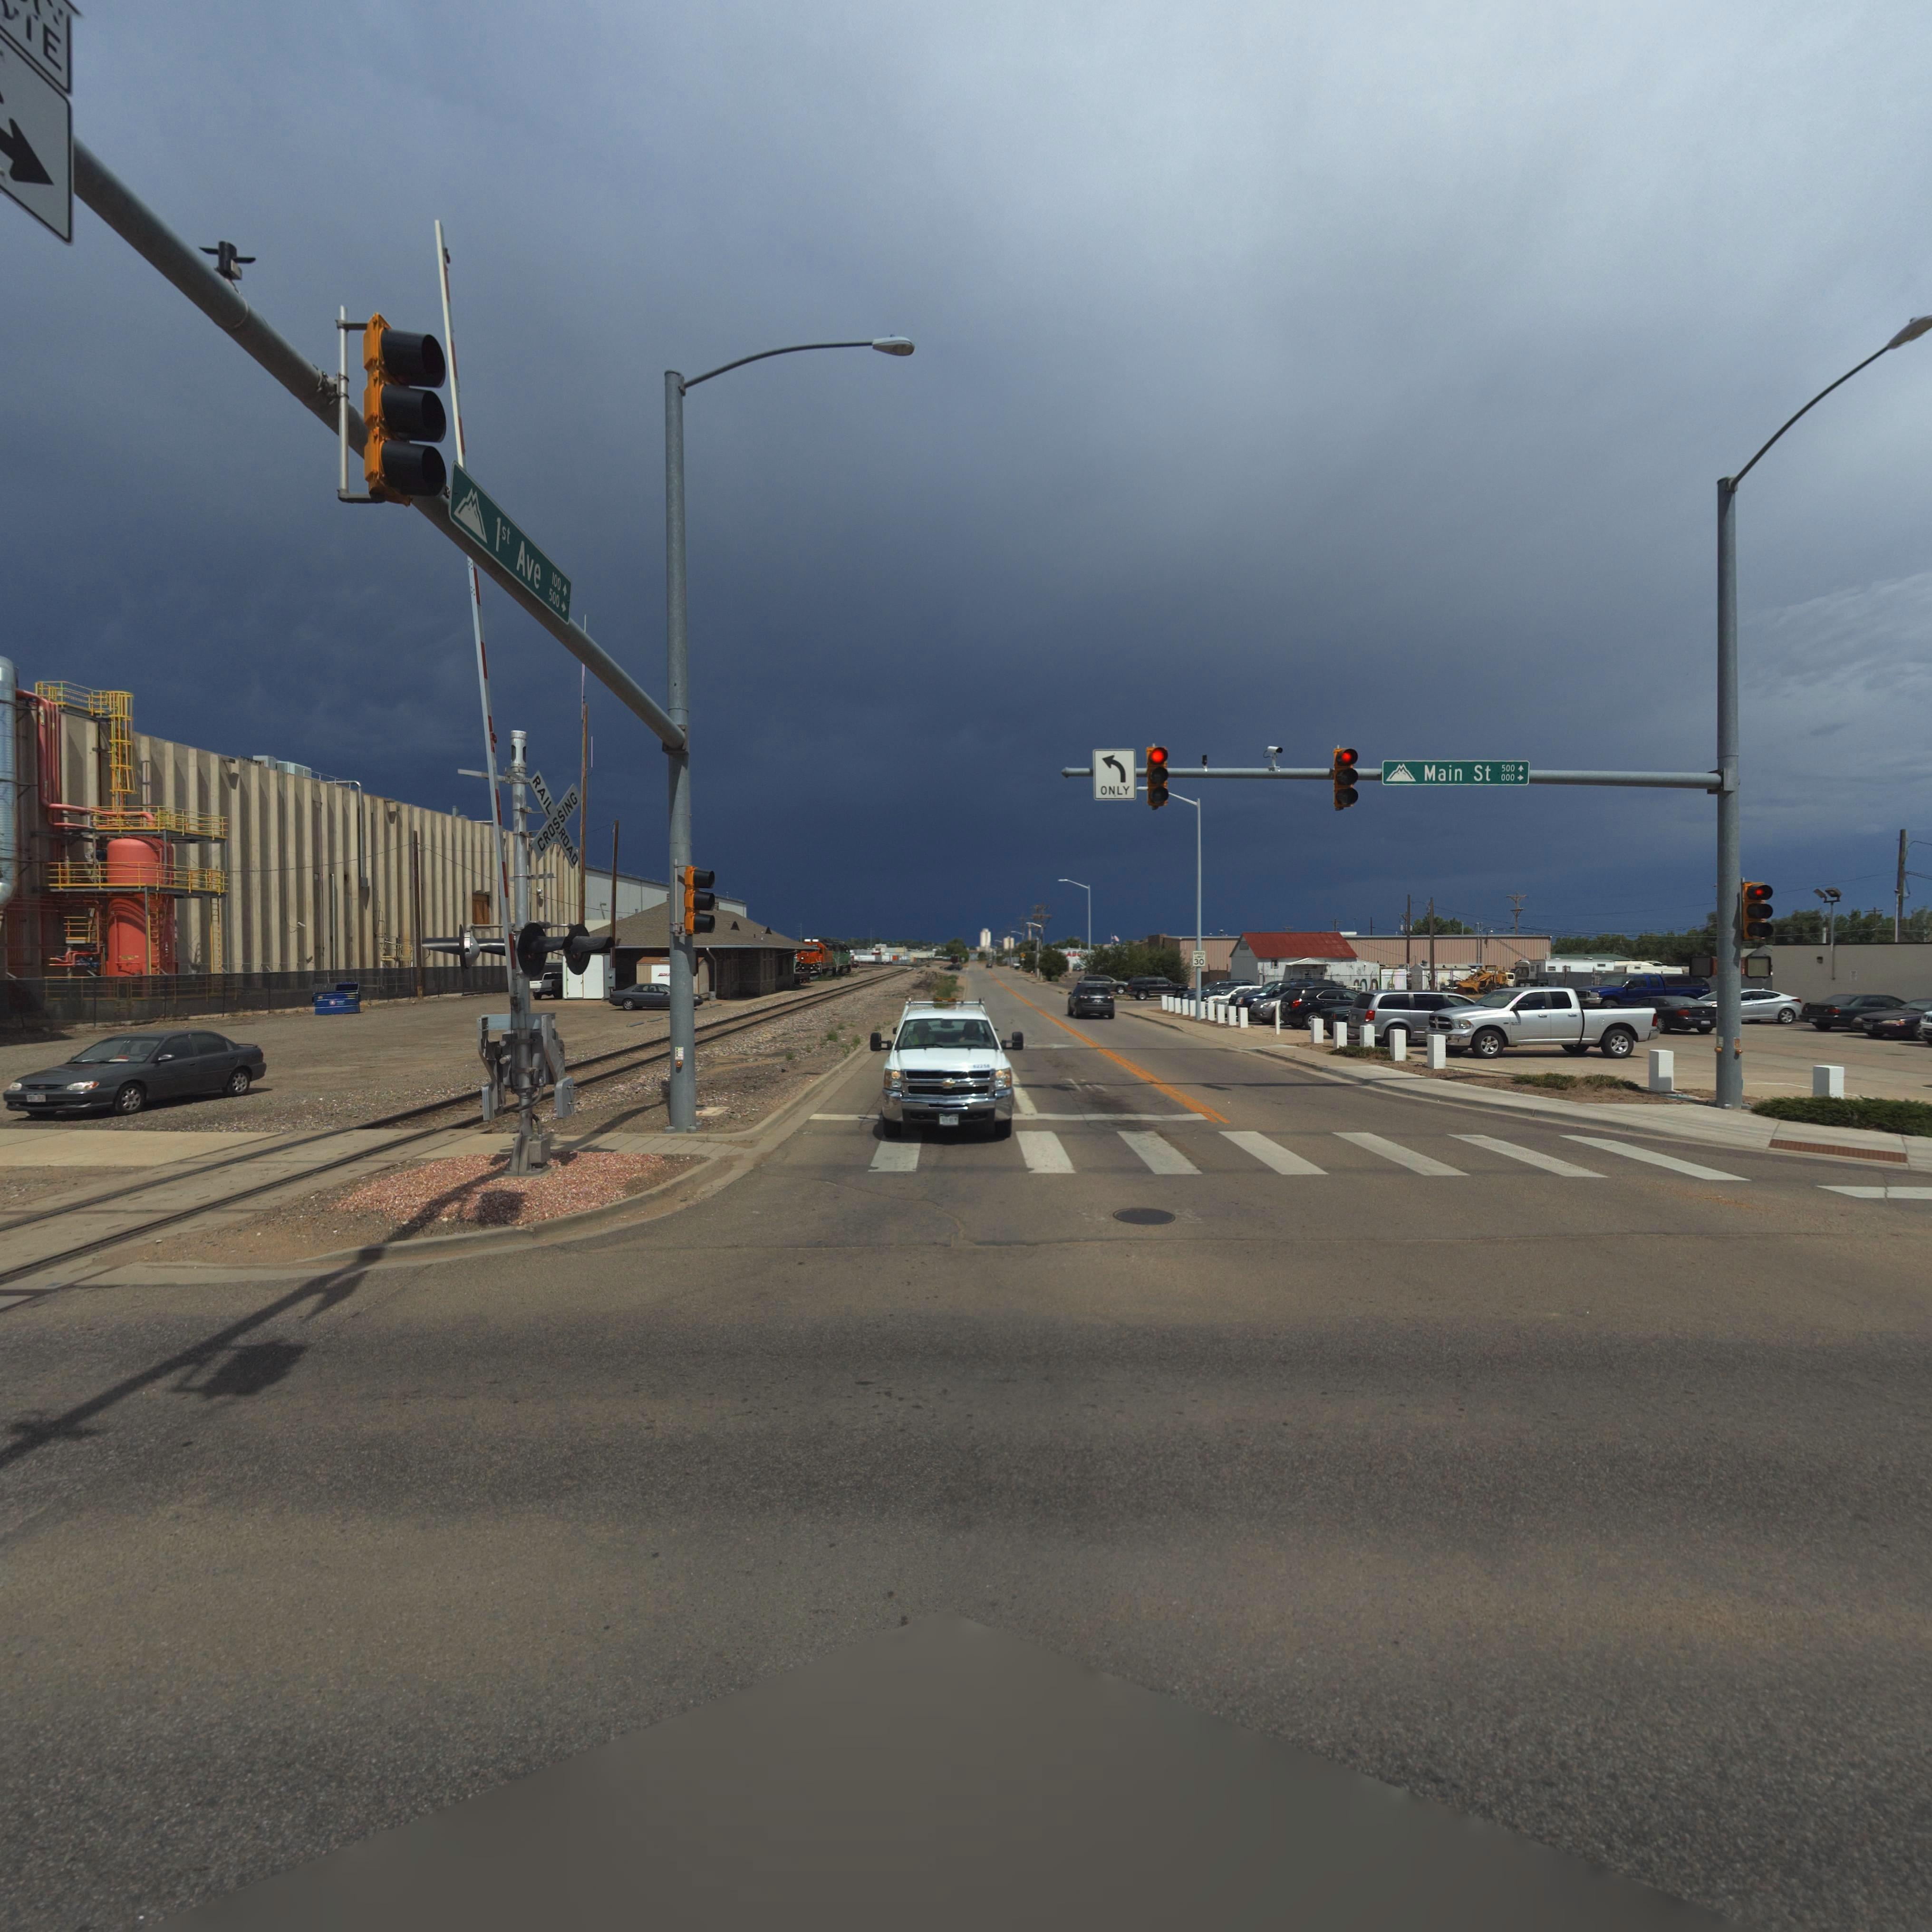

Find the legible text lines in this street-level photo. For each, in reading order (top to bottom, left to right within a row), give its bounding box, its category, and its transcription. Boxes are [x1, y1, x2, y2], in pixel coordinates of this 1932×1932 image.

[495, 516, 541, 590] BusinessName: 1st Ave
[551, 571, 562, 591] StreetNumberRange: 100
[548, 587, 567, 612] StreetNumberRange: 500->
[1424, 764, 1491, 782] StreetName: Main St
[1501, 763, 1515, 772] StreetNumberRange: 500
[1500, 773, 1525, 782] StreetNumberRange: 000->